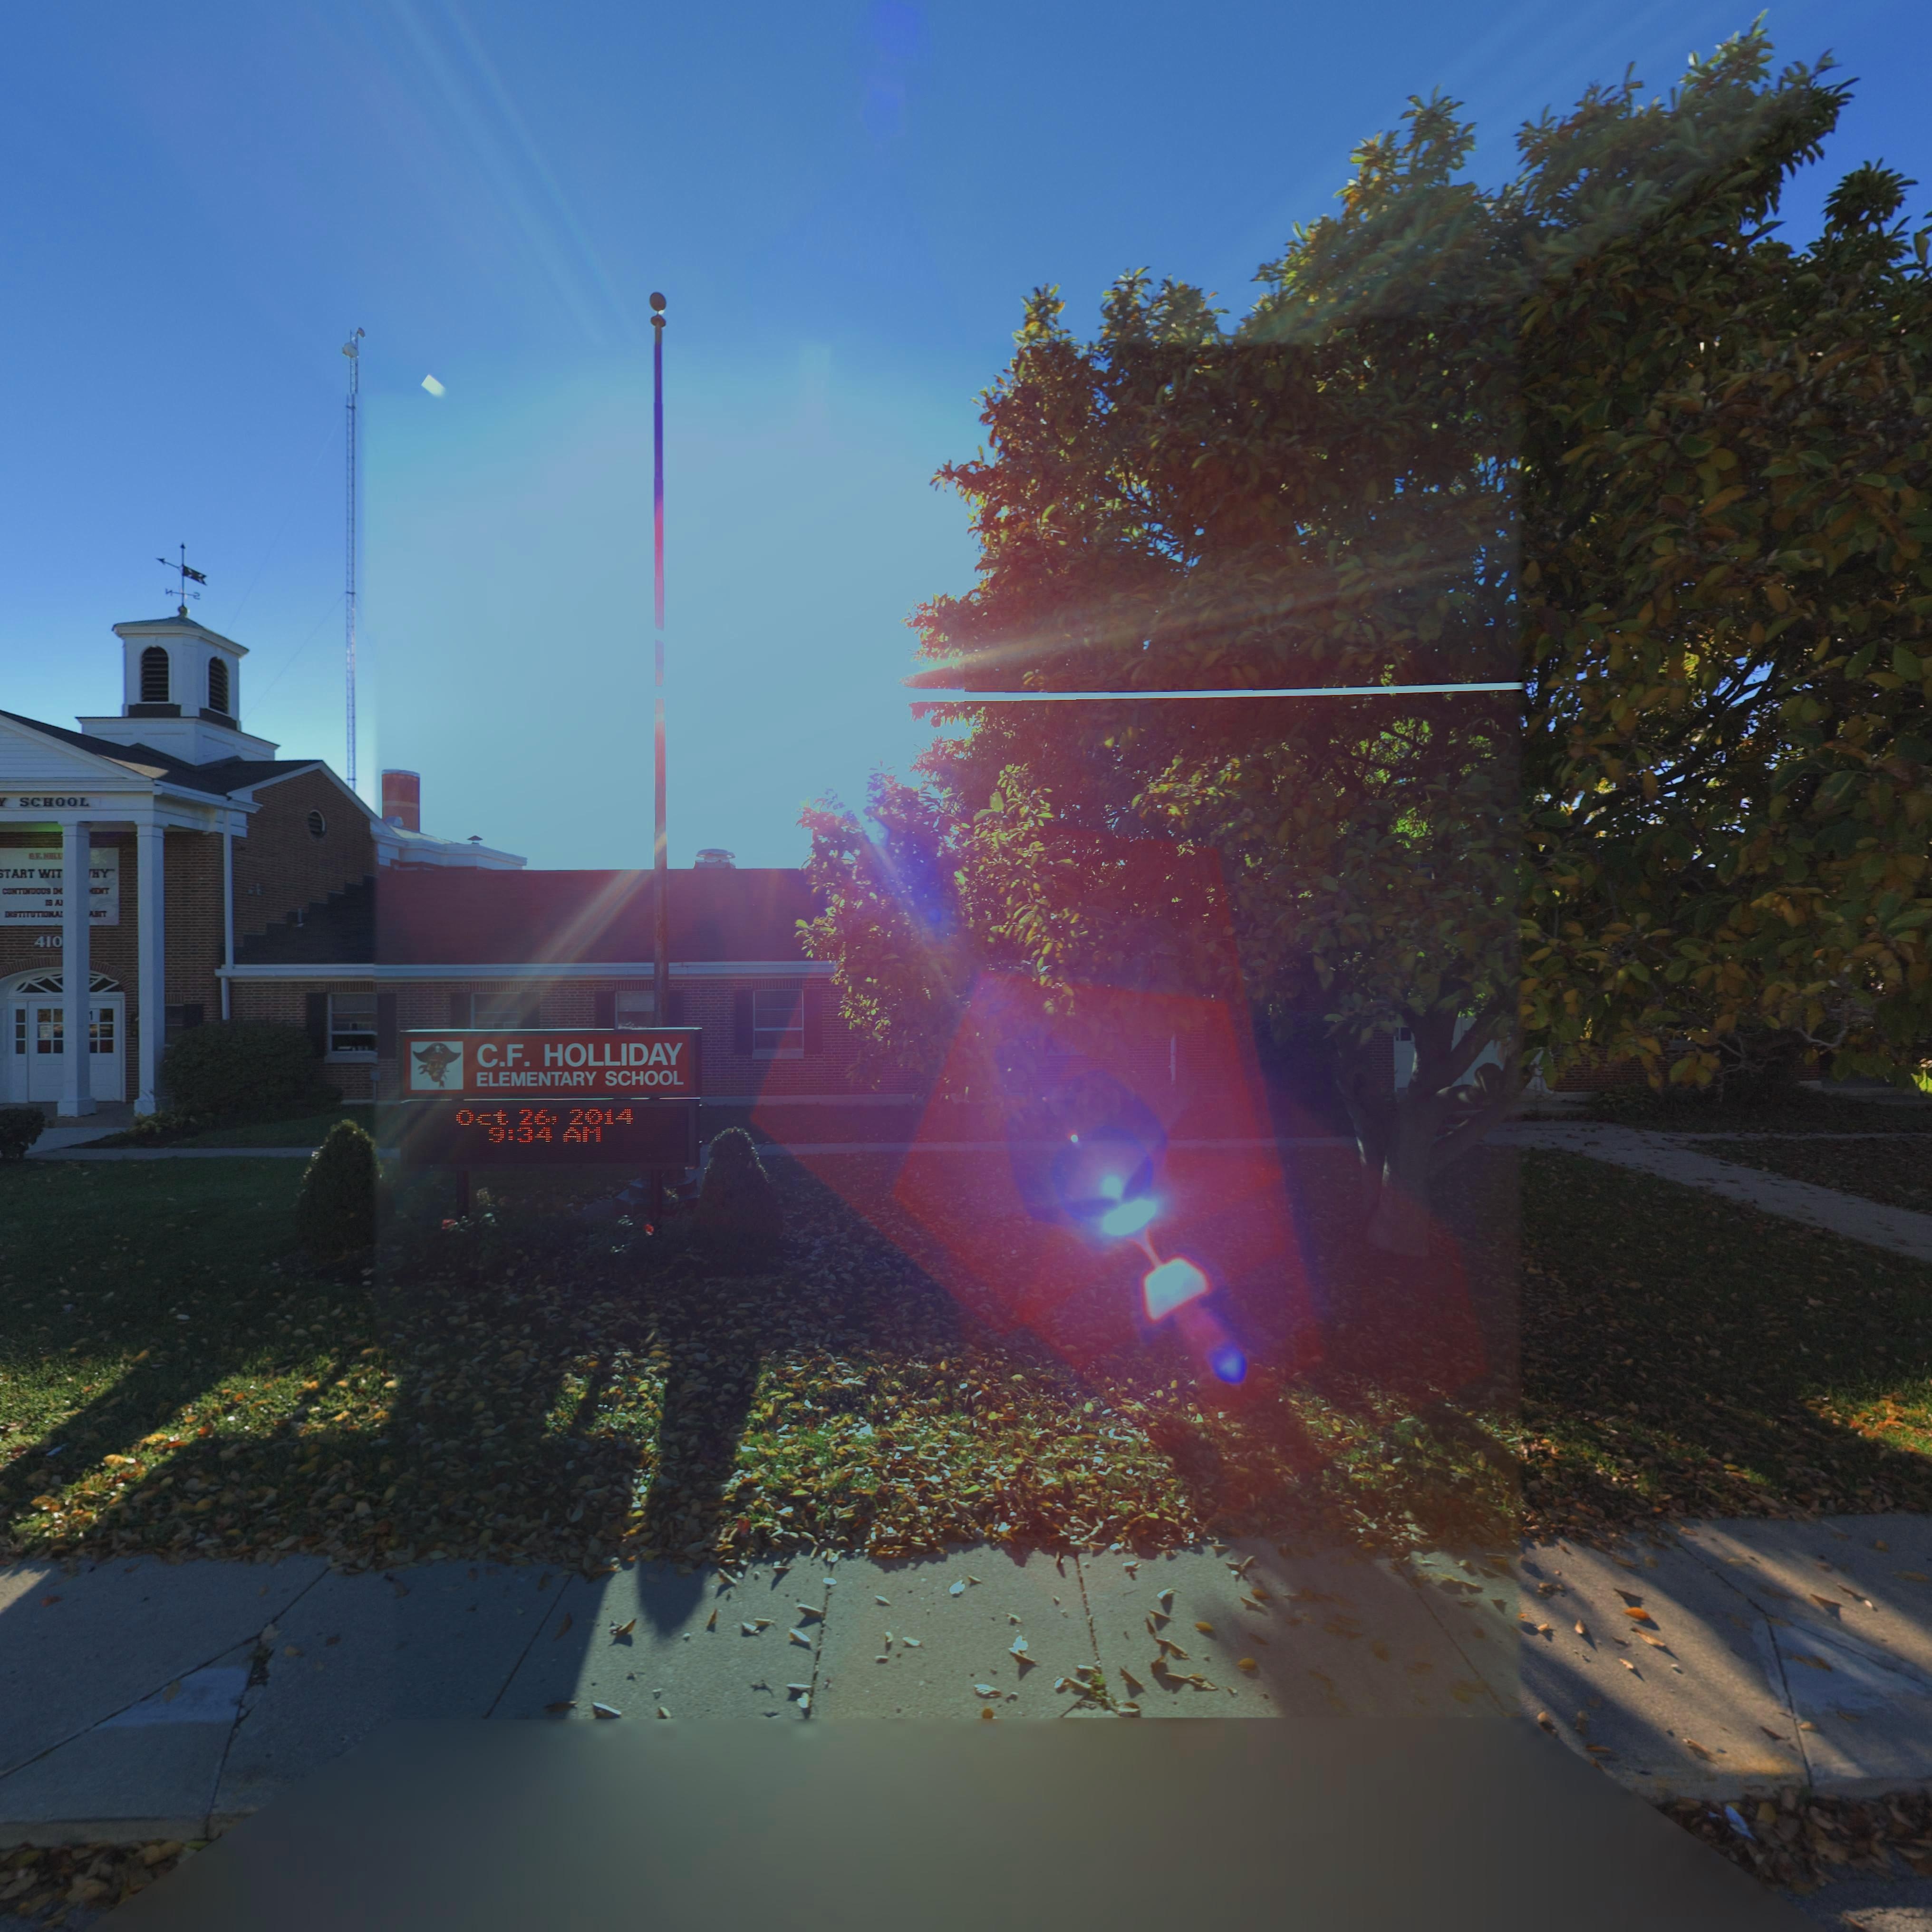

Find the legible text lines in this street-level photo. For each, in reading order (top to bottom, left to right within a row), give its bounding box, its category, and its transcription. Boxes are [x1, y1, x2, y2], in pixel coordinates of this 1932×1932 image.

[33, 936, 63, 948] StreetNumber: 410